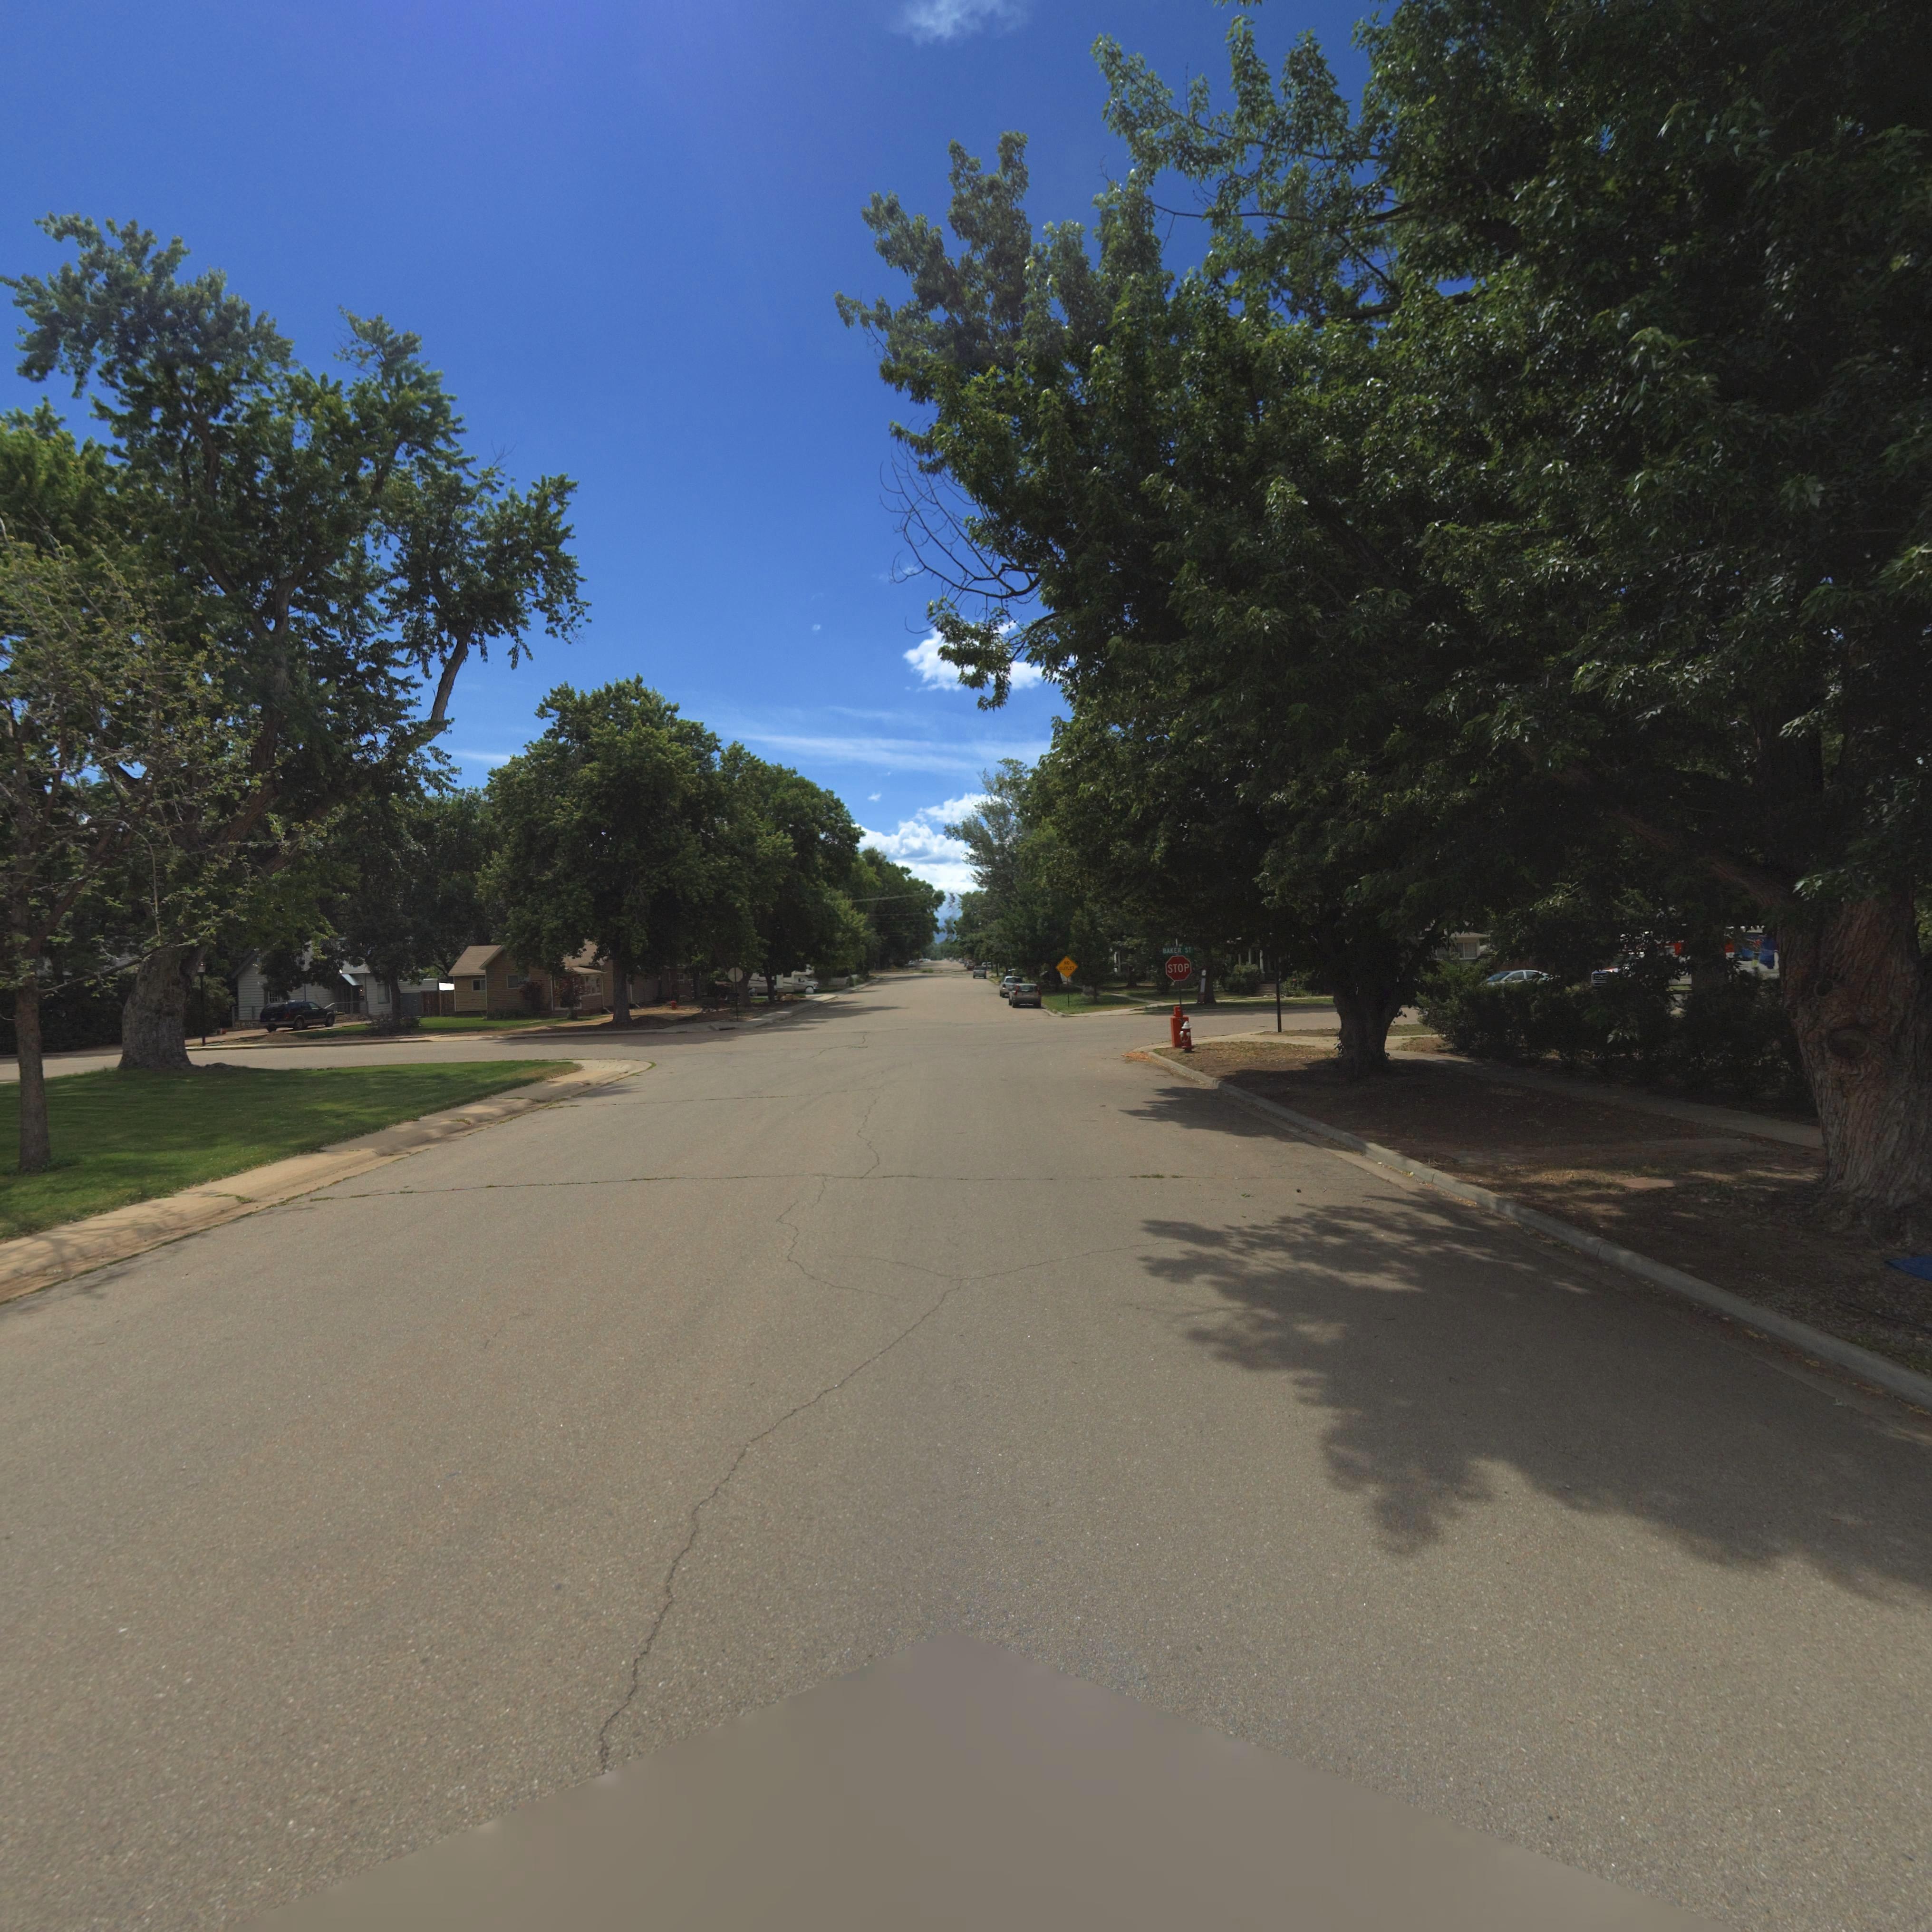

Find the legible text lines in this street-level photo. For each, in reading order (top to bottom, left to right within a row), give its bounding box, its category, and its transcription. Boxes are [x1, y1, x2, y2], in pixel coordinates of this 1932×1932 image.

[1162, 946, 1193, 954] StreetName: BAKER ST